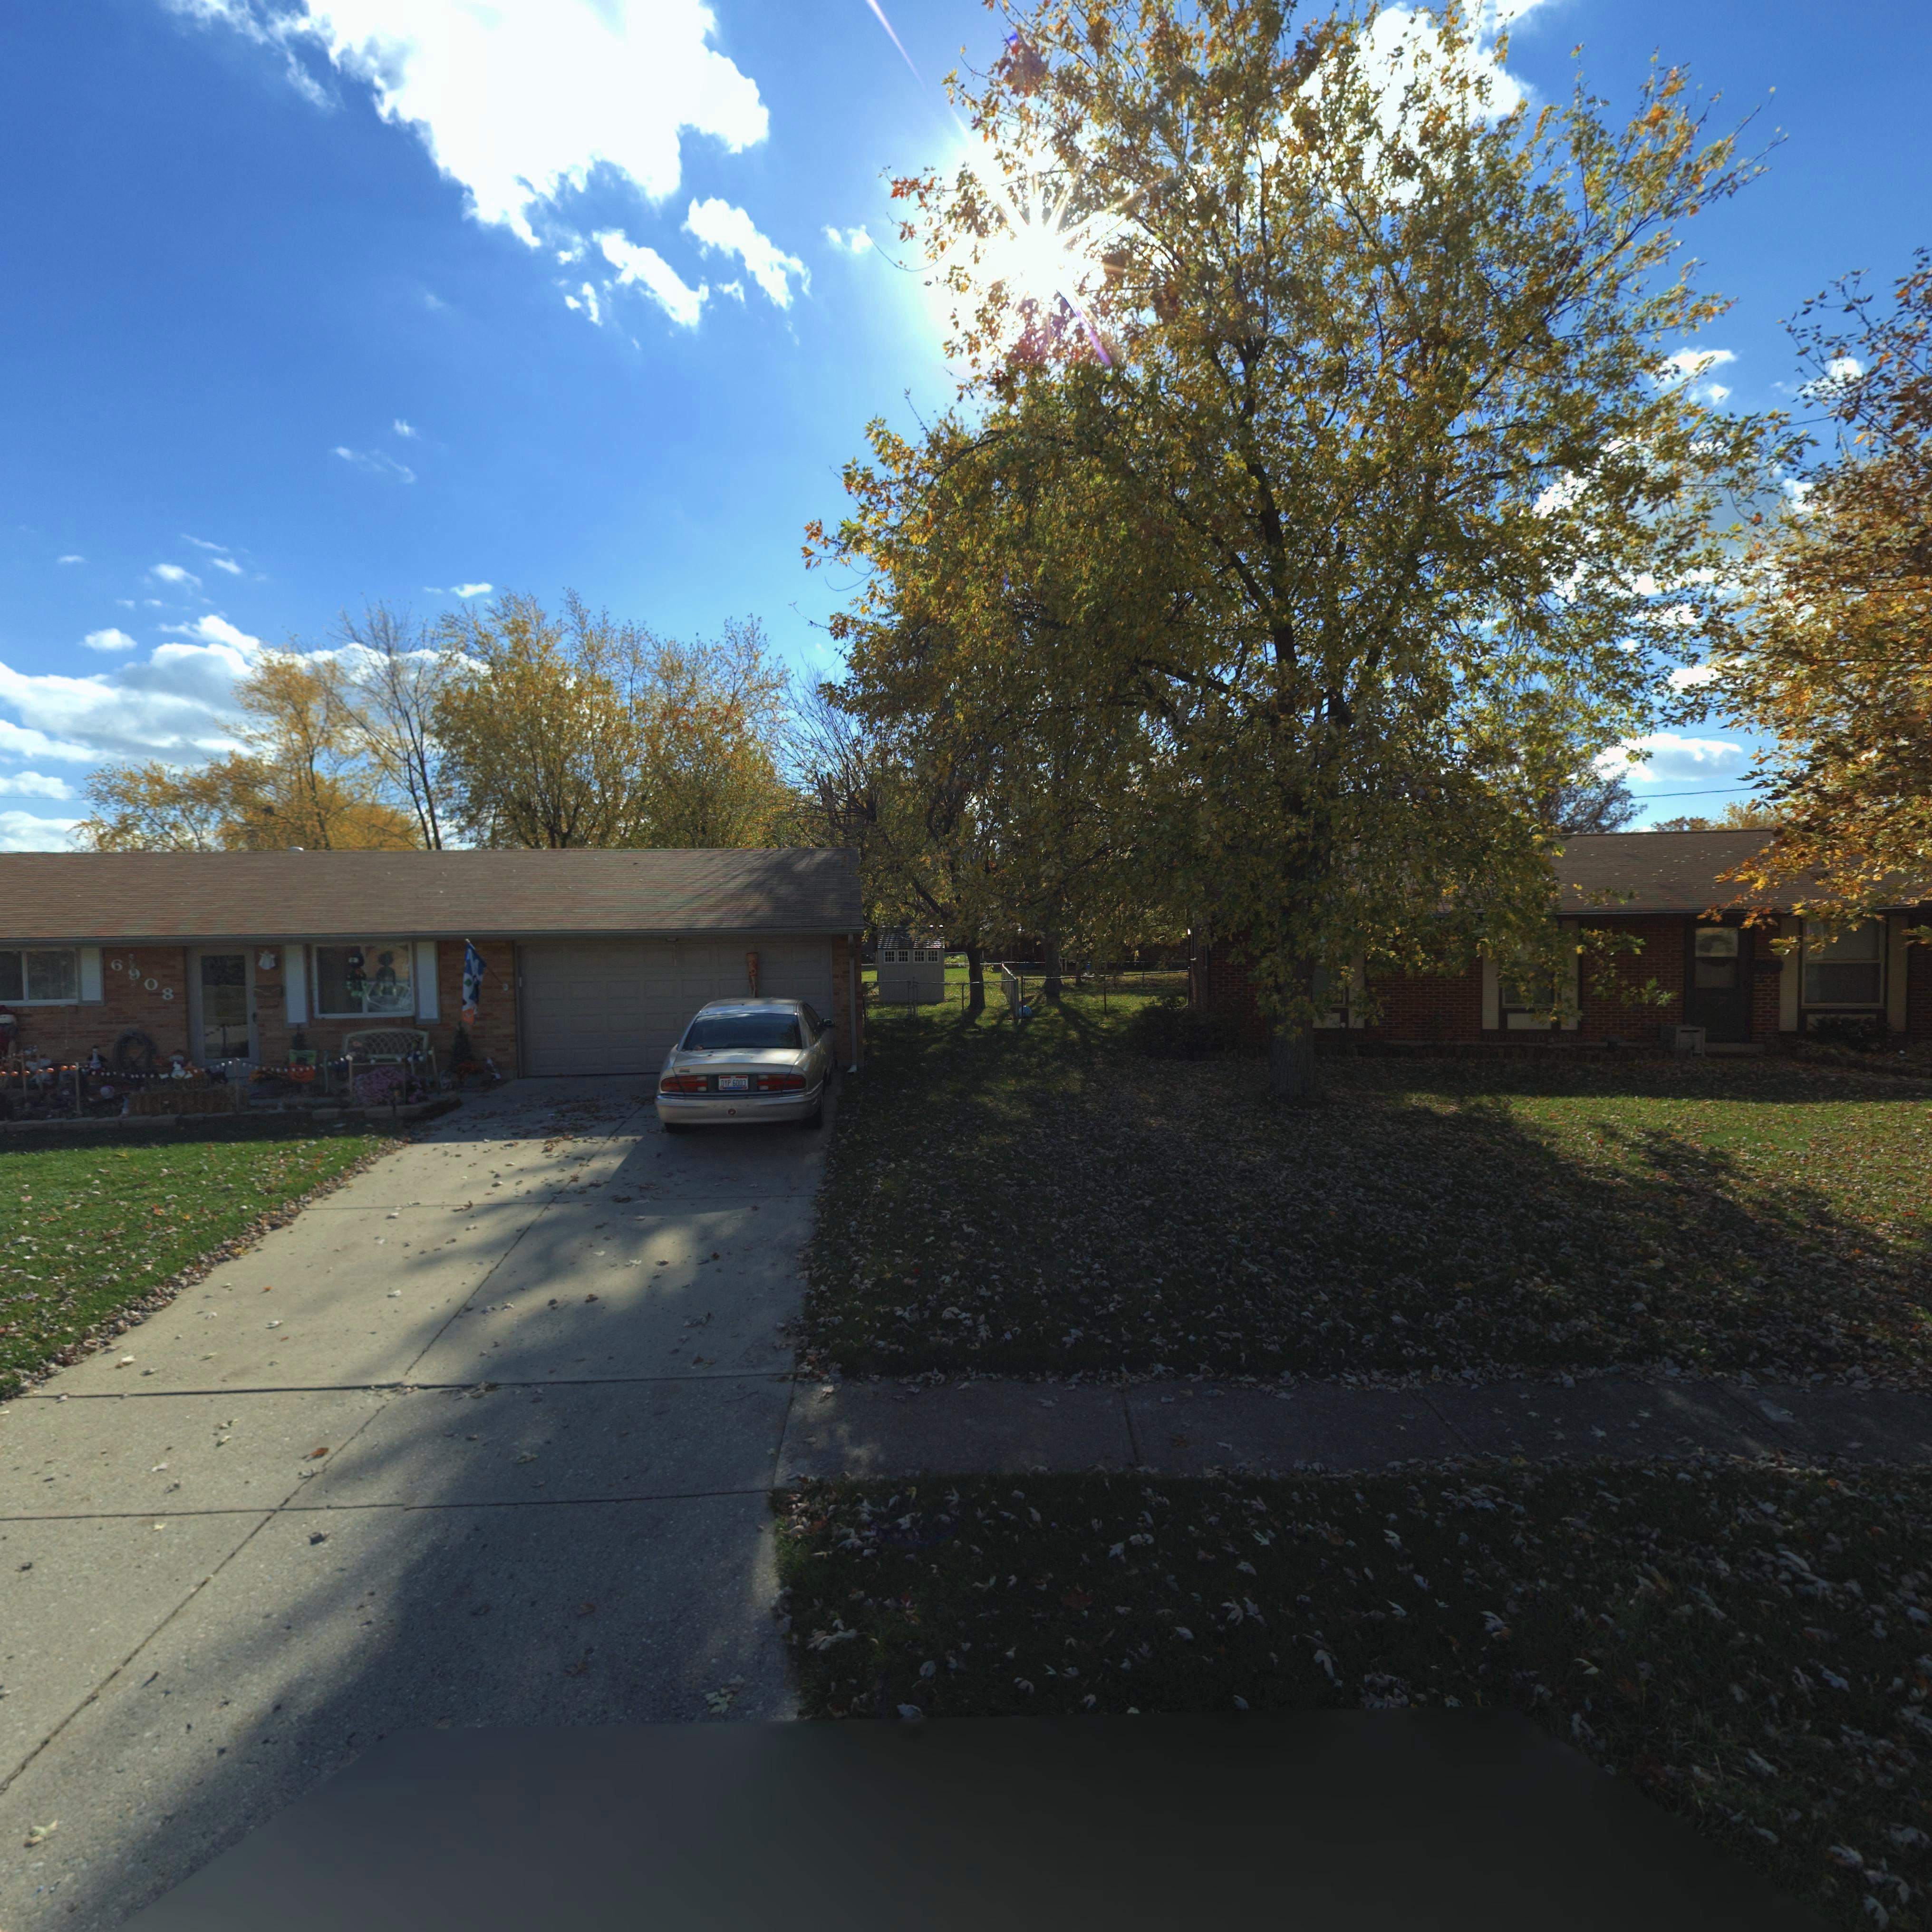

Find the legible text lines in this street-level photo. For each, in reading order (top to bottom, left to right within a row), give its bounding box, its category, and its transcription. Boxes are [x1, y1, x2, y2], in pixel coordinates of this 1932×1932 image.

[109, 956, 175, 1002] StreetNumber: 6*08